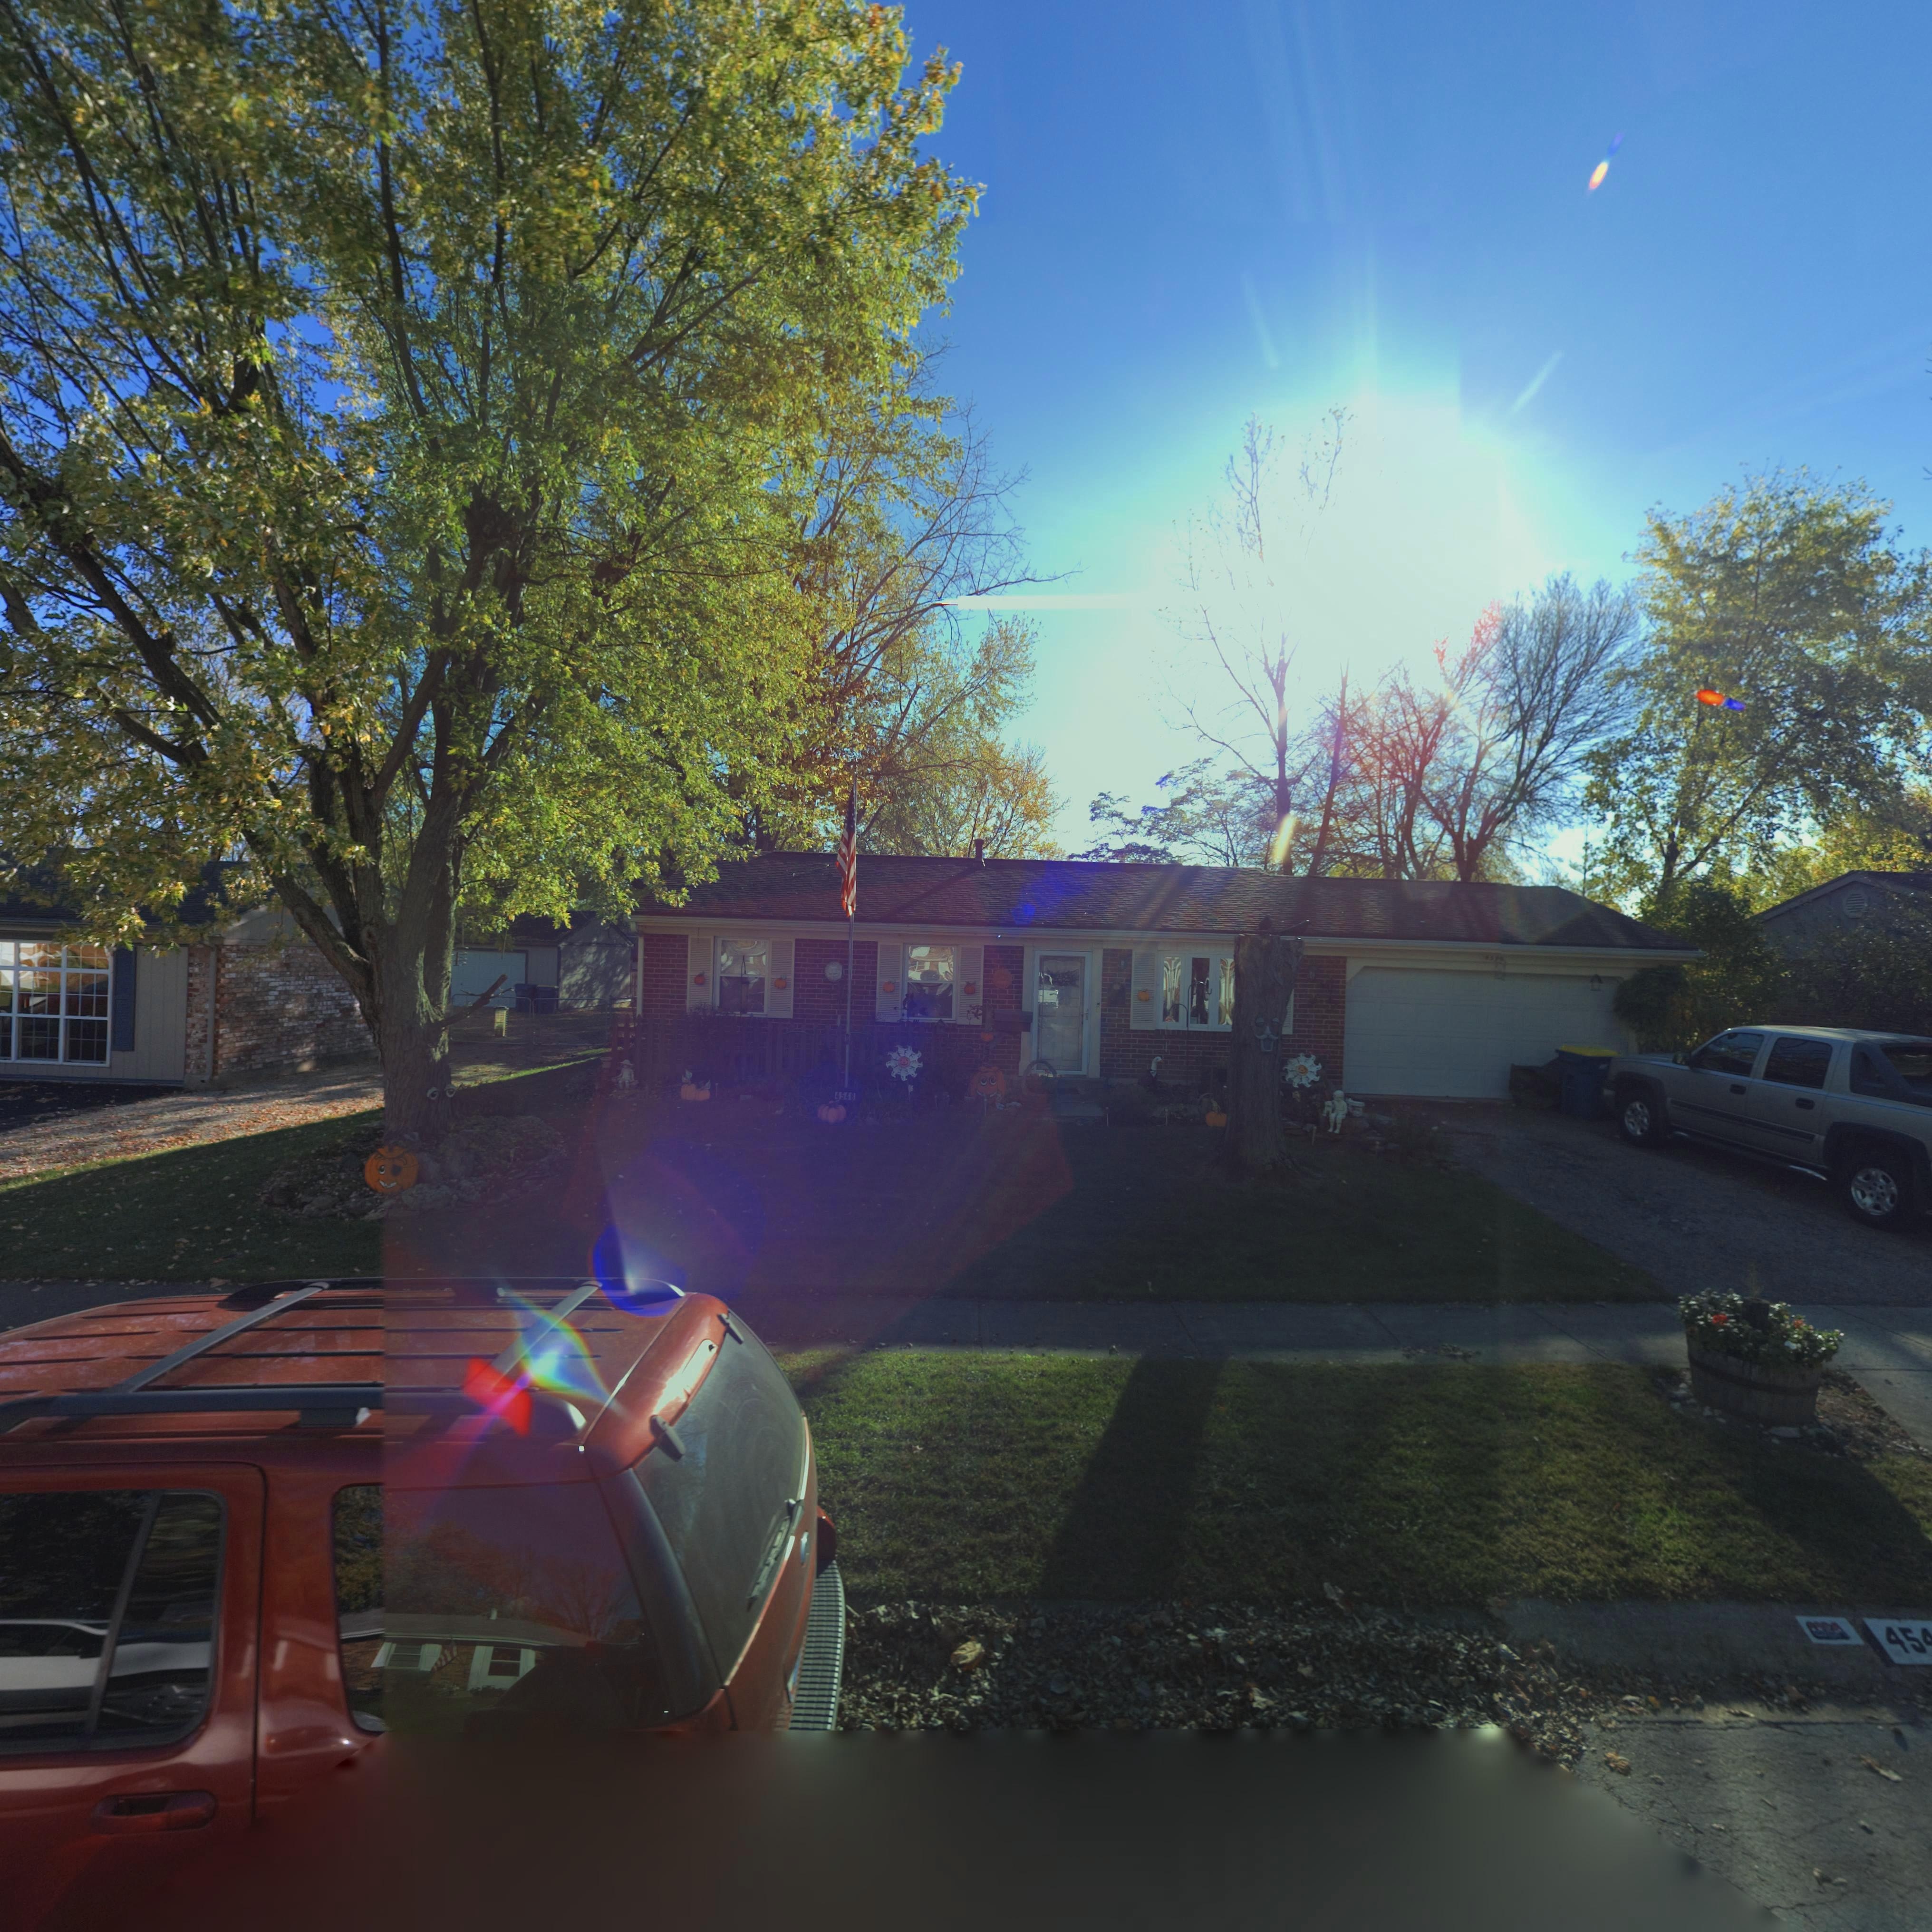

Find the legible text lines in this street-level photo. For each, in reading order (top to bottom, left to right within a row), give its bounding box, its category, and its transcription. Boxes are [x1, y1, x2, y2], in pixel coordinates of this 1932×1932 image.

[1483, 954, 1505, 962] StreetNumber: 454*
[835, 1091, 855, 1101] StreetNumber: 4548
[1884, 1625, 1928, 1655] StreetNumber: 45